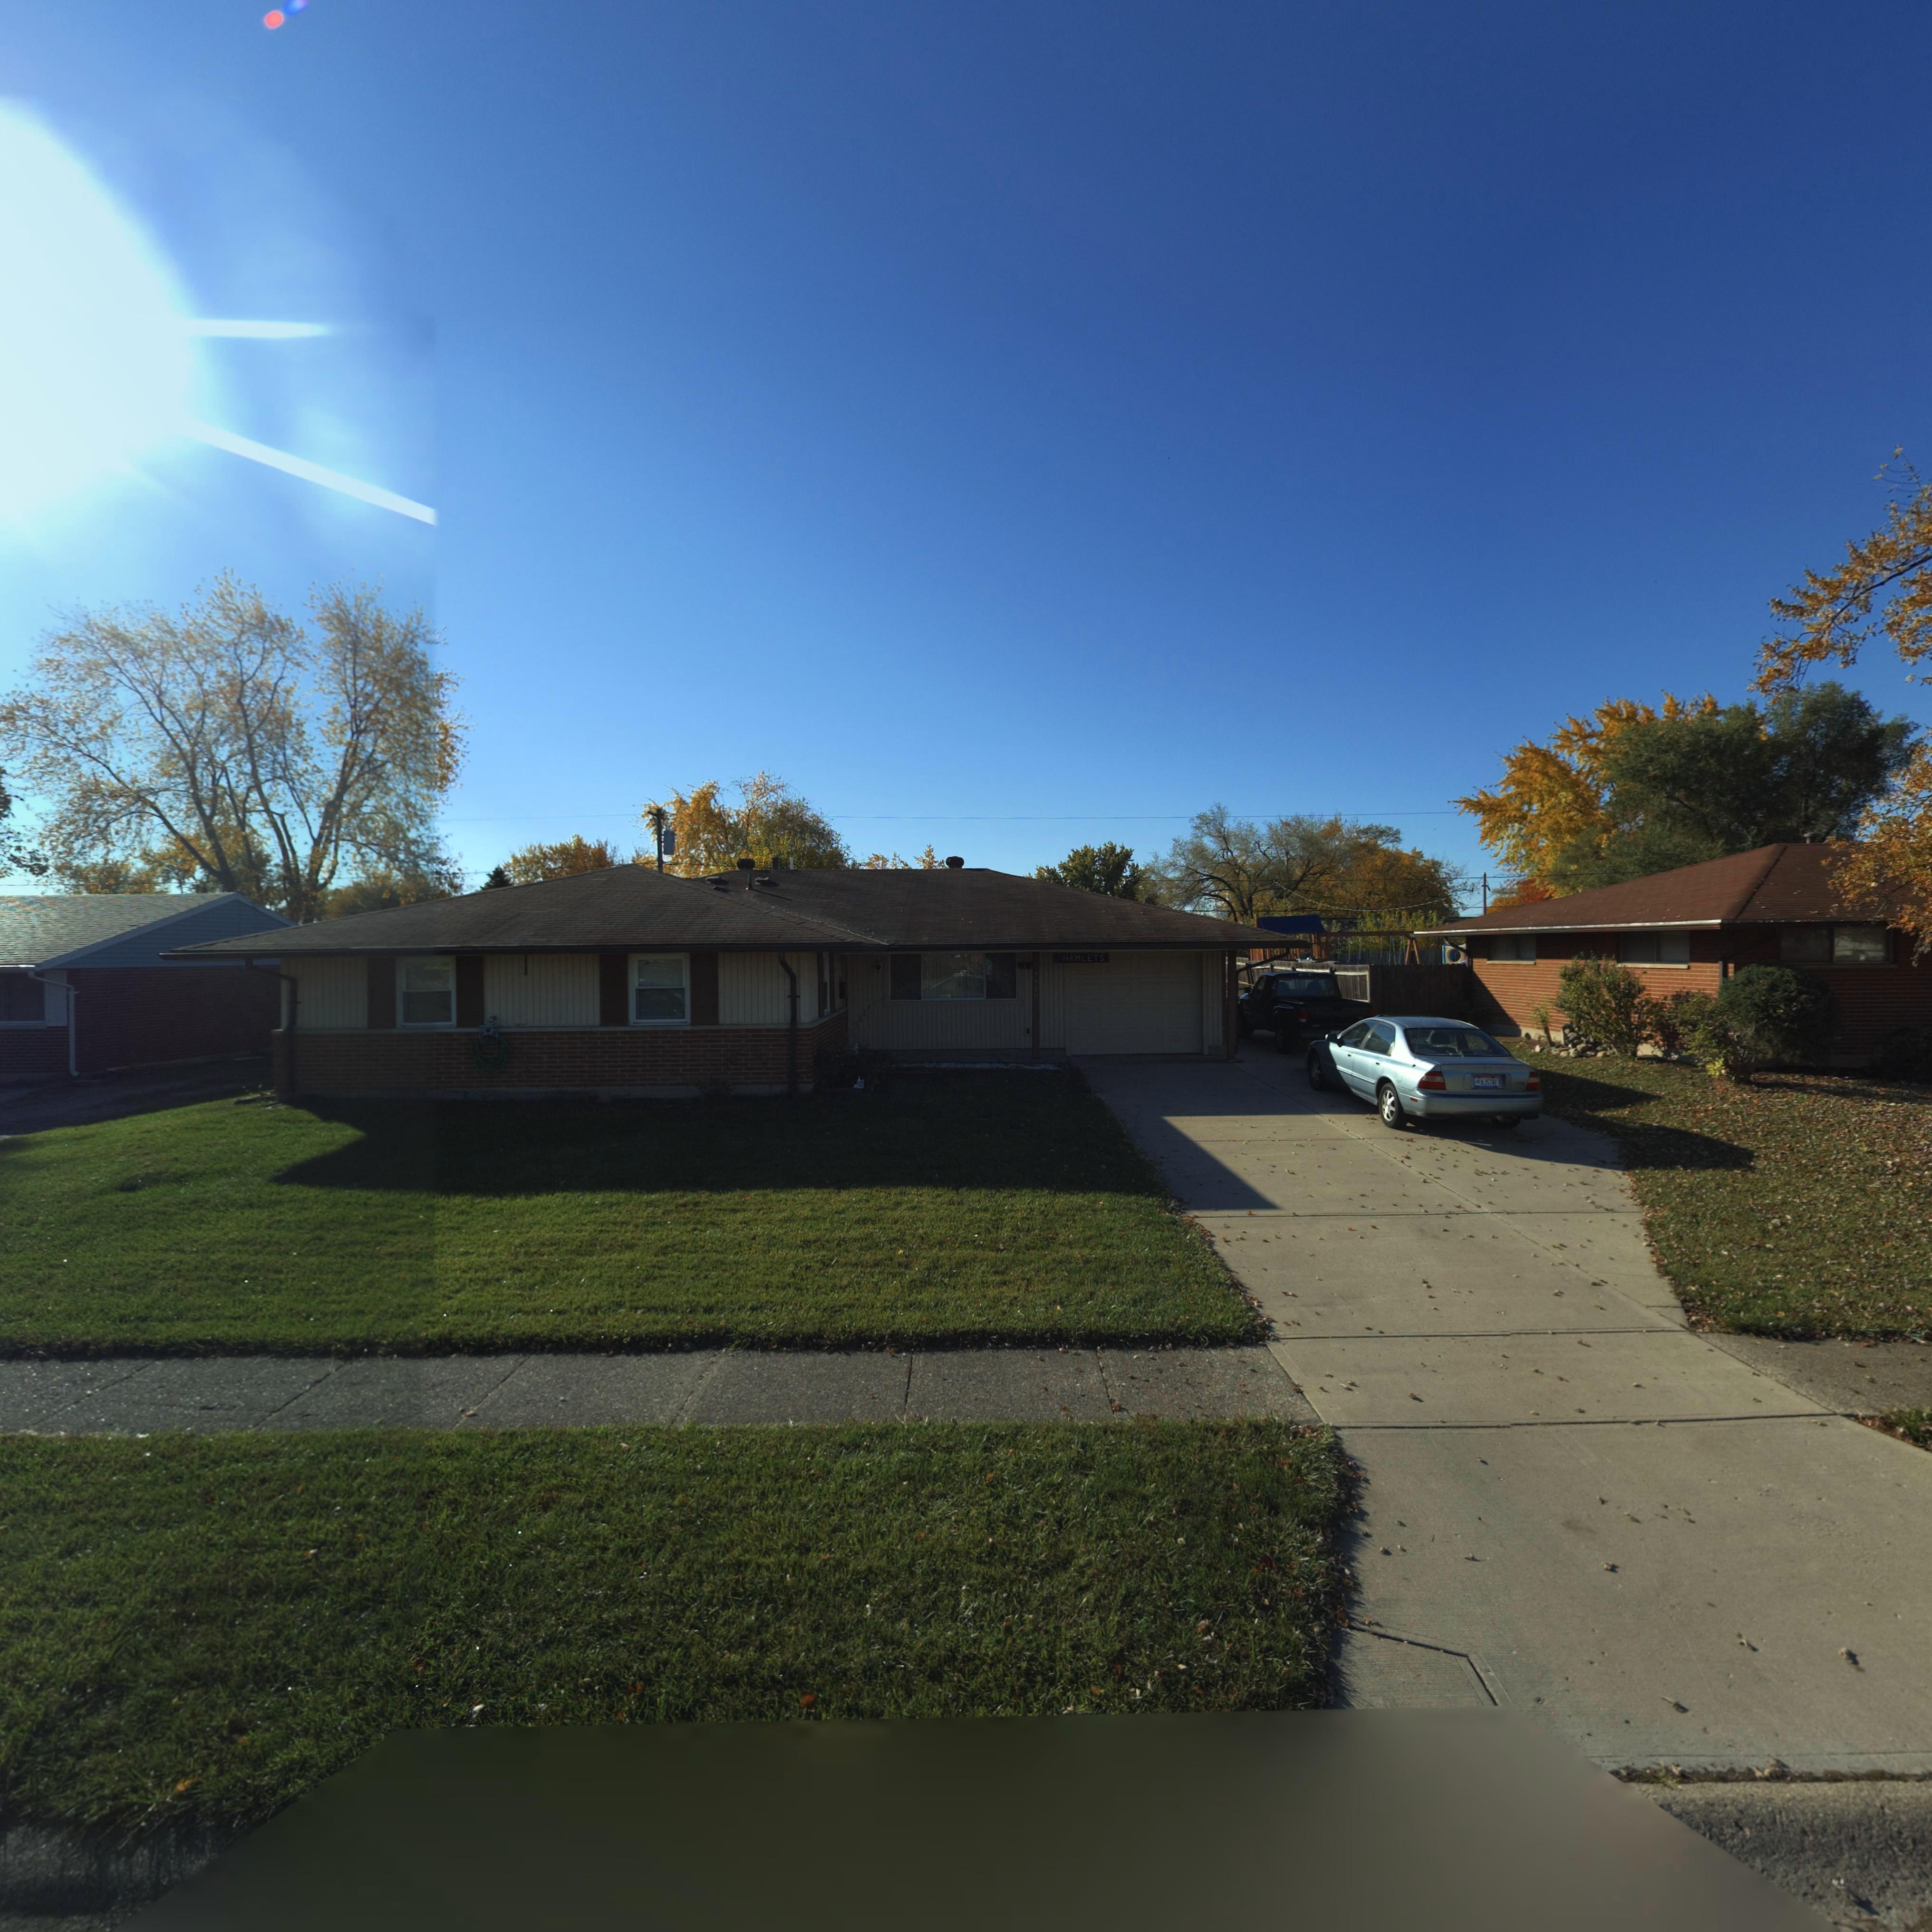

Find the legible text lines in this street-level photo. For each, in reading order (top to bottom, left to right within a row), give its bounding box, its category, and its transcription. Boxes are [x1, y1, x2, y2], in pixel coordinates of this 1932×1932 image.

[1033, 971, 1039, 1000] StreetNumber: 7960